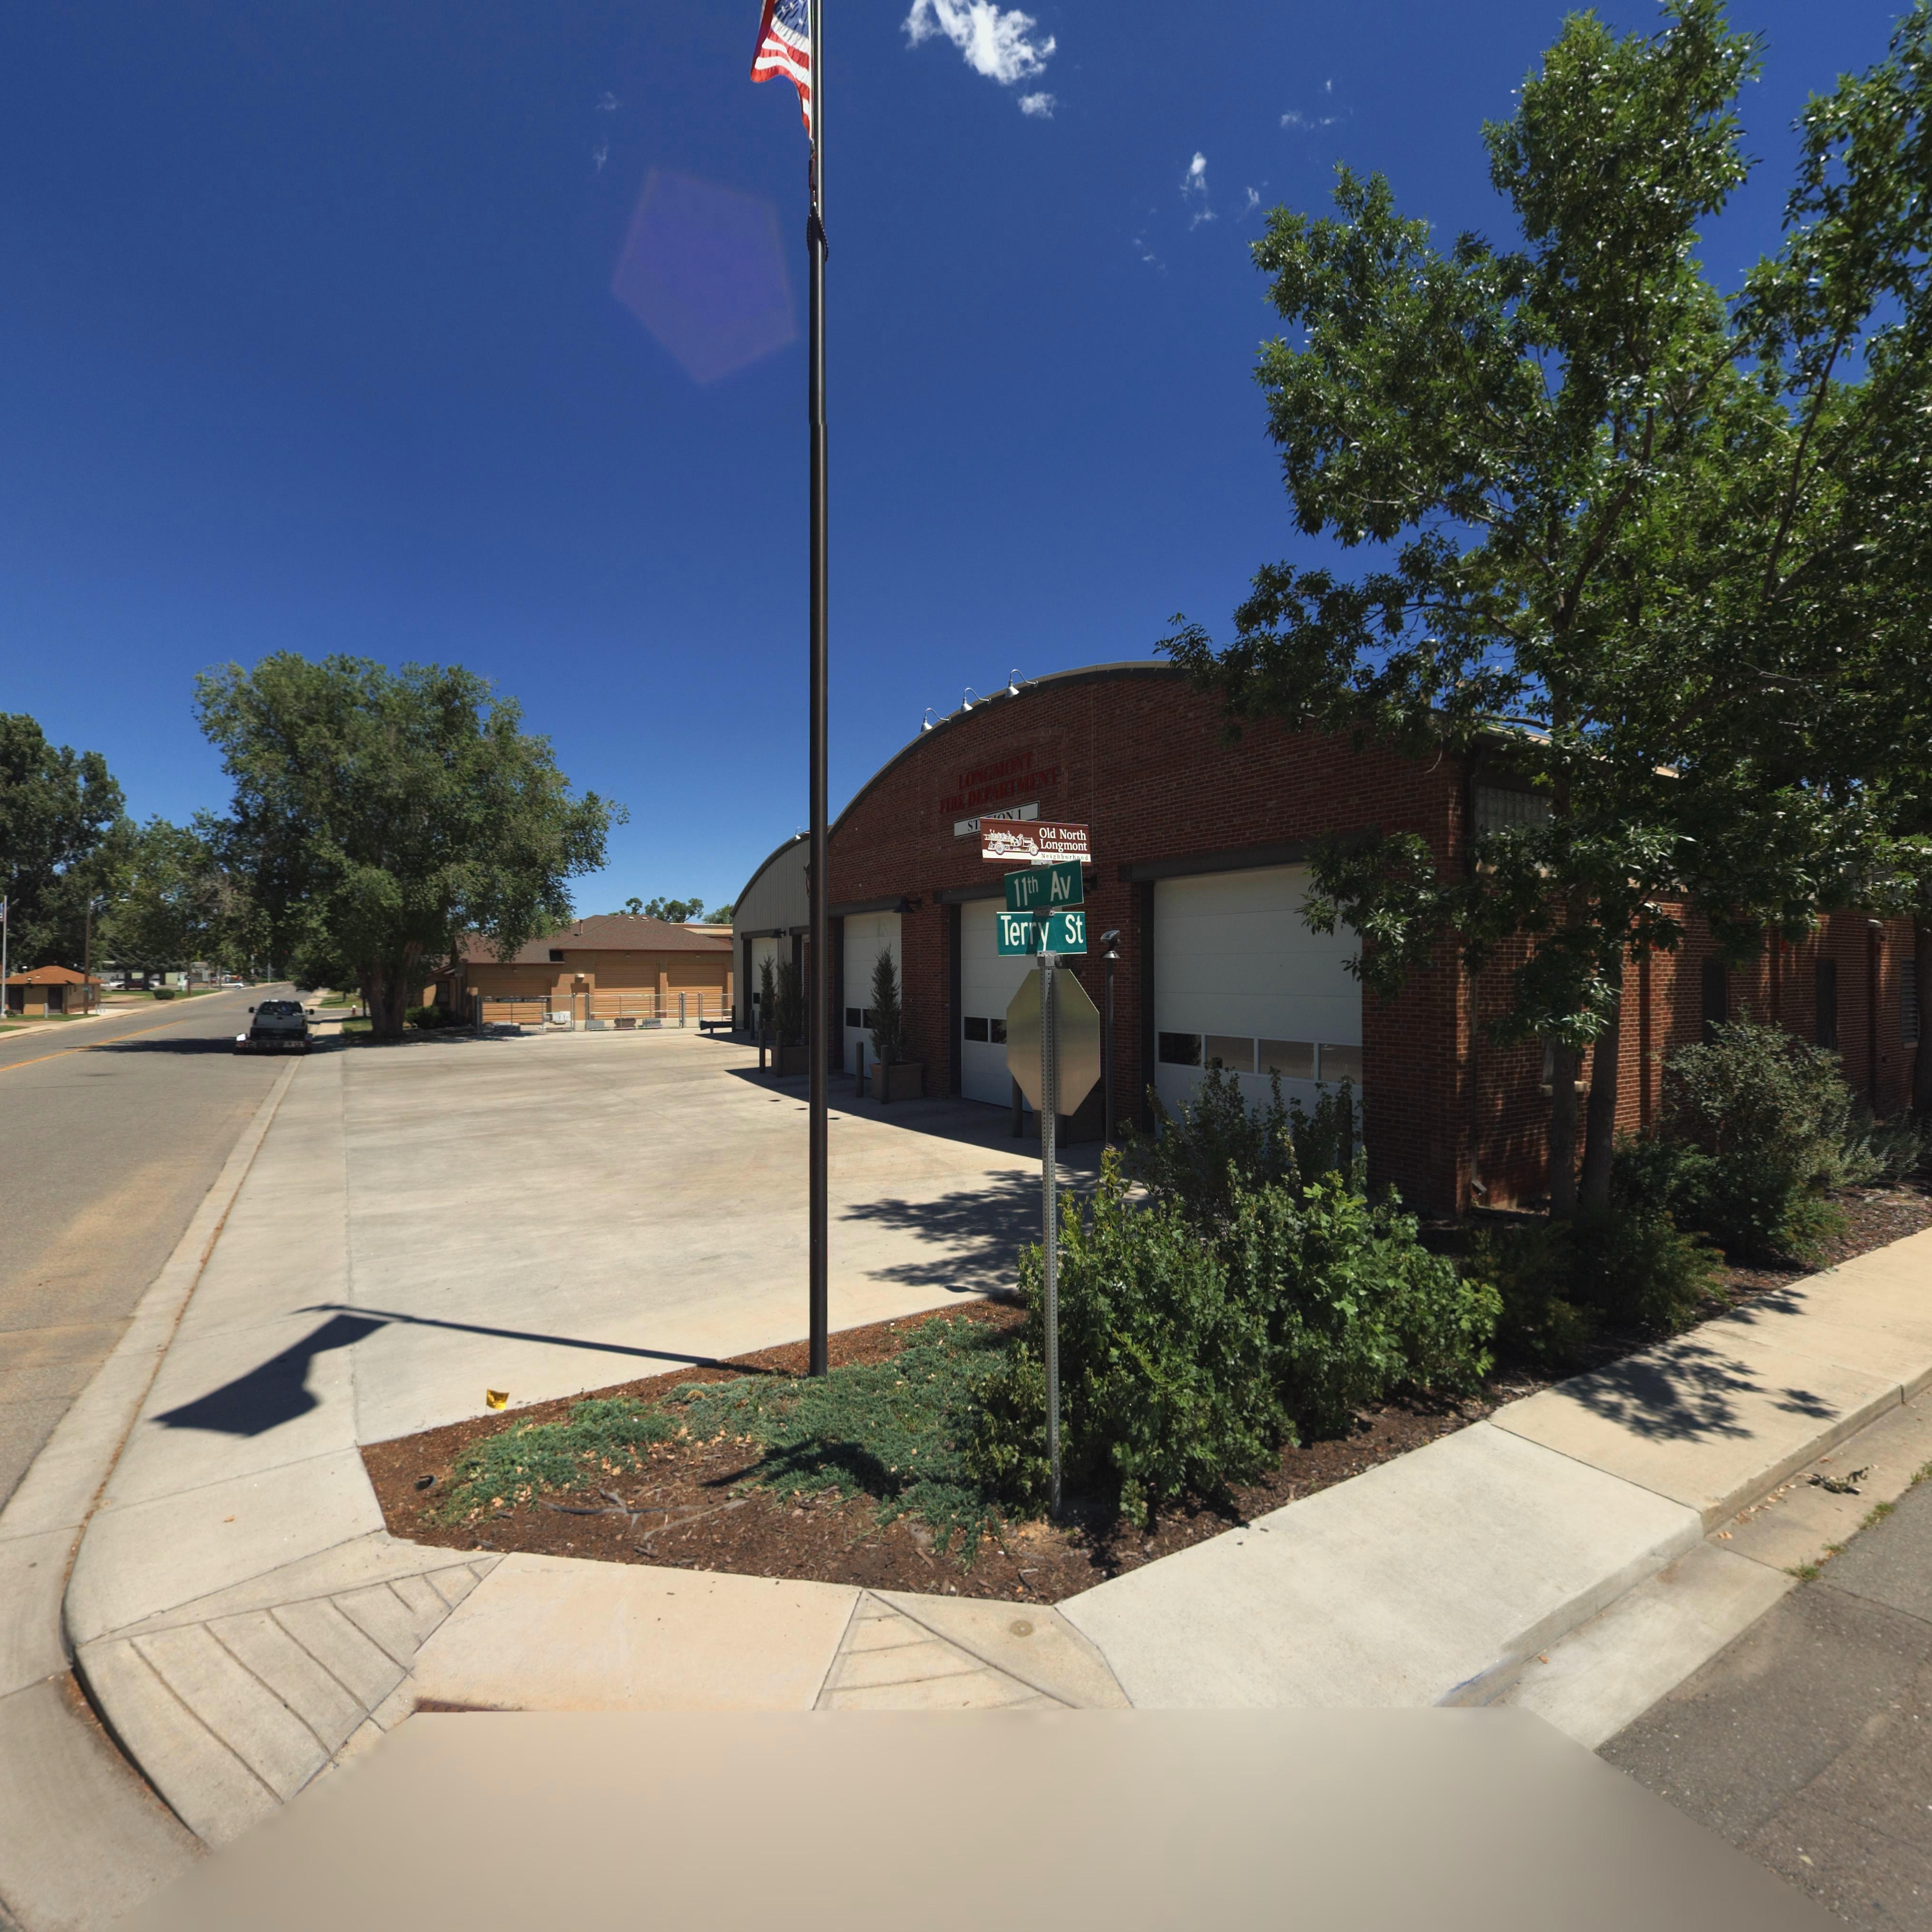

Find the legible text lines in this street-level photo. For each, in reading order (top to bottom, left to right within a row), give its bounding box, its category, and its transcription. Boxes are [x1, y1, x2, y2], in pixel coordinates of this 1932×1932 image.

[957, 750, 1034, 791] BusinessName: LONGMONT
[938, 763, 1061, 817] BusinessName: FIRE DEPARTMENT
[967, 808, 1022, 832] BusinessName: ST****N1
[1013, 870, 1071, 908] StreetName: 11th Av
[1001, 914, 1085, 952] StreetName: Terry St